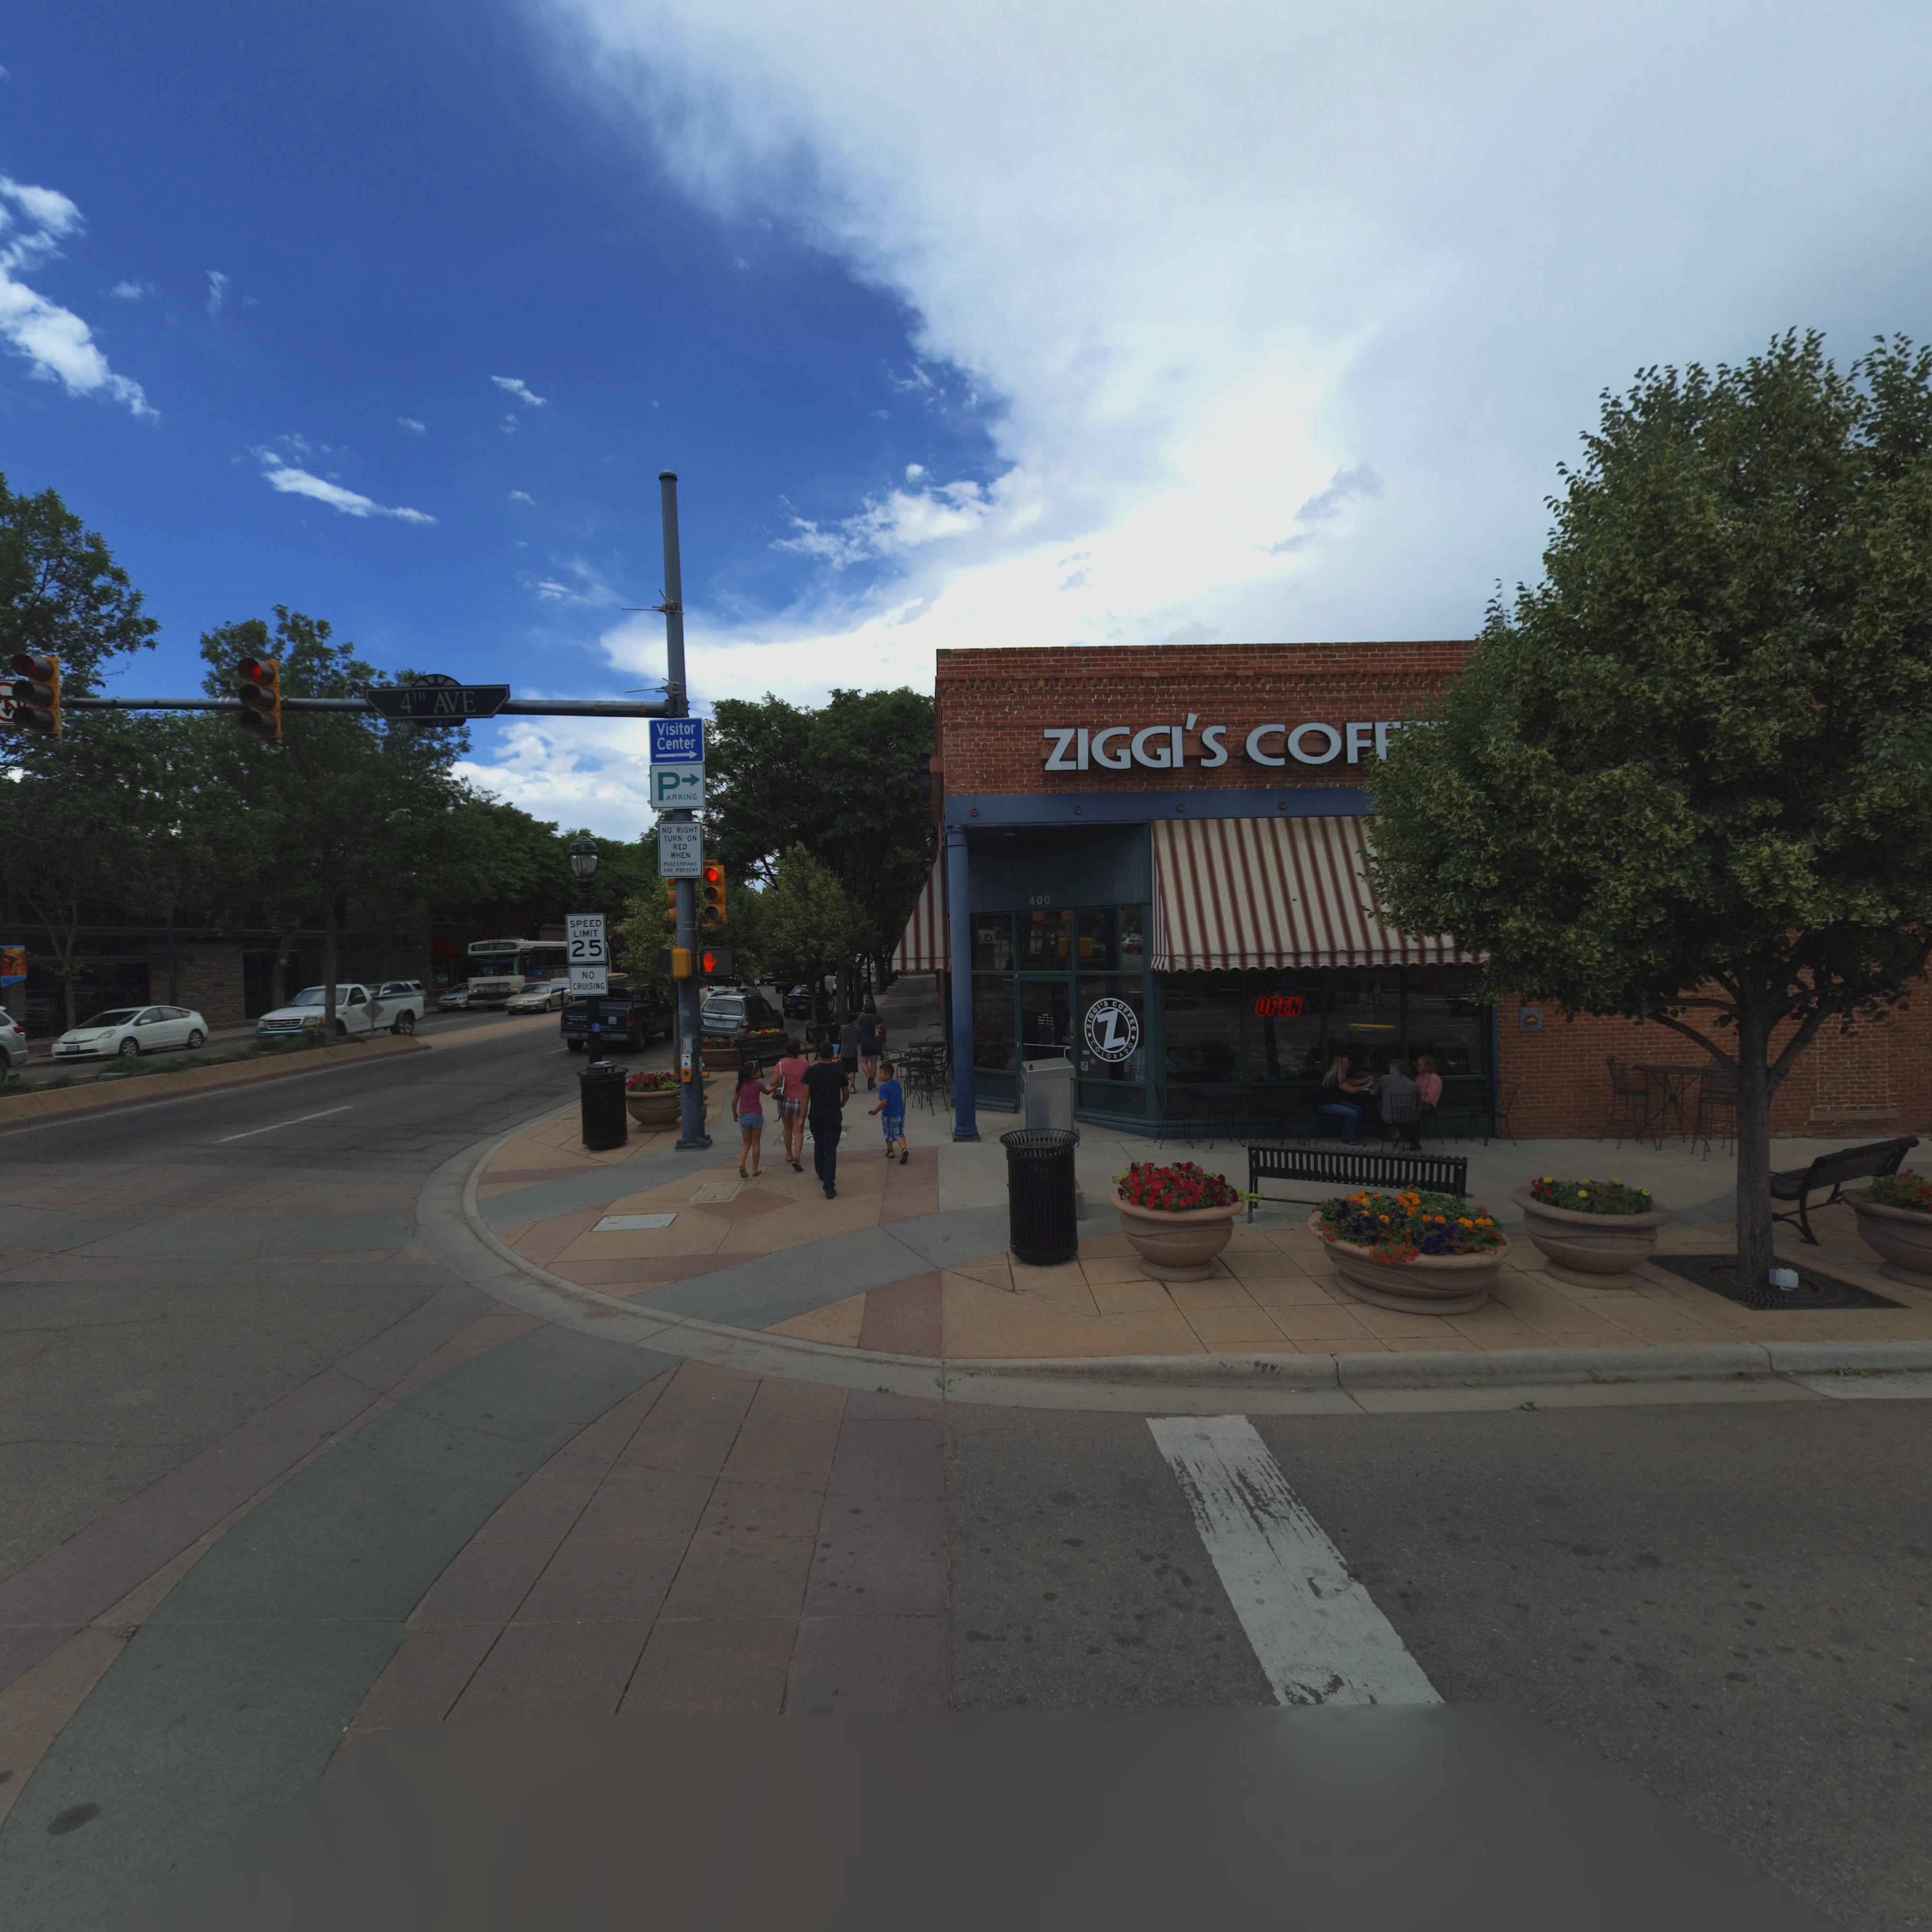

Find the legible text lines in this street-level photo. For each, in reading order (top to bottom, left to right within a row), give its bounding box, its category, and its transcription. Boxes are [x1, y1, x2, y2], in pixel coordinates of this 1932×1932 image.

[400, 690, 476, 714] StreetName: 4TH AVE
[432, 720, 448, 725] StreetNumber: 400
[1043, 712, 1402, 771] BusinessName: ZIGGI'S COF*
[1029, 895, 1051, 905] StreetNumber: 400
[1086, 1000, 1136, 1031] BusinessName: ZIGGI'S COFFEE